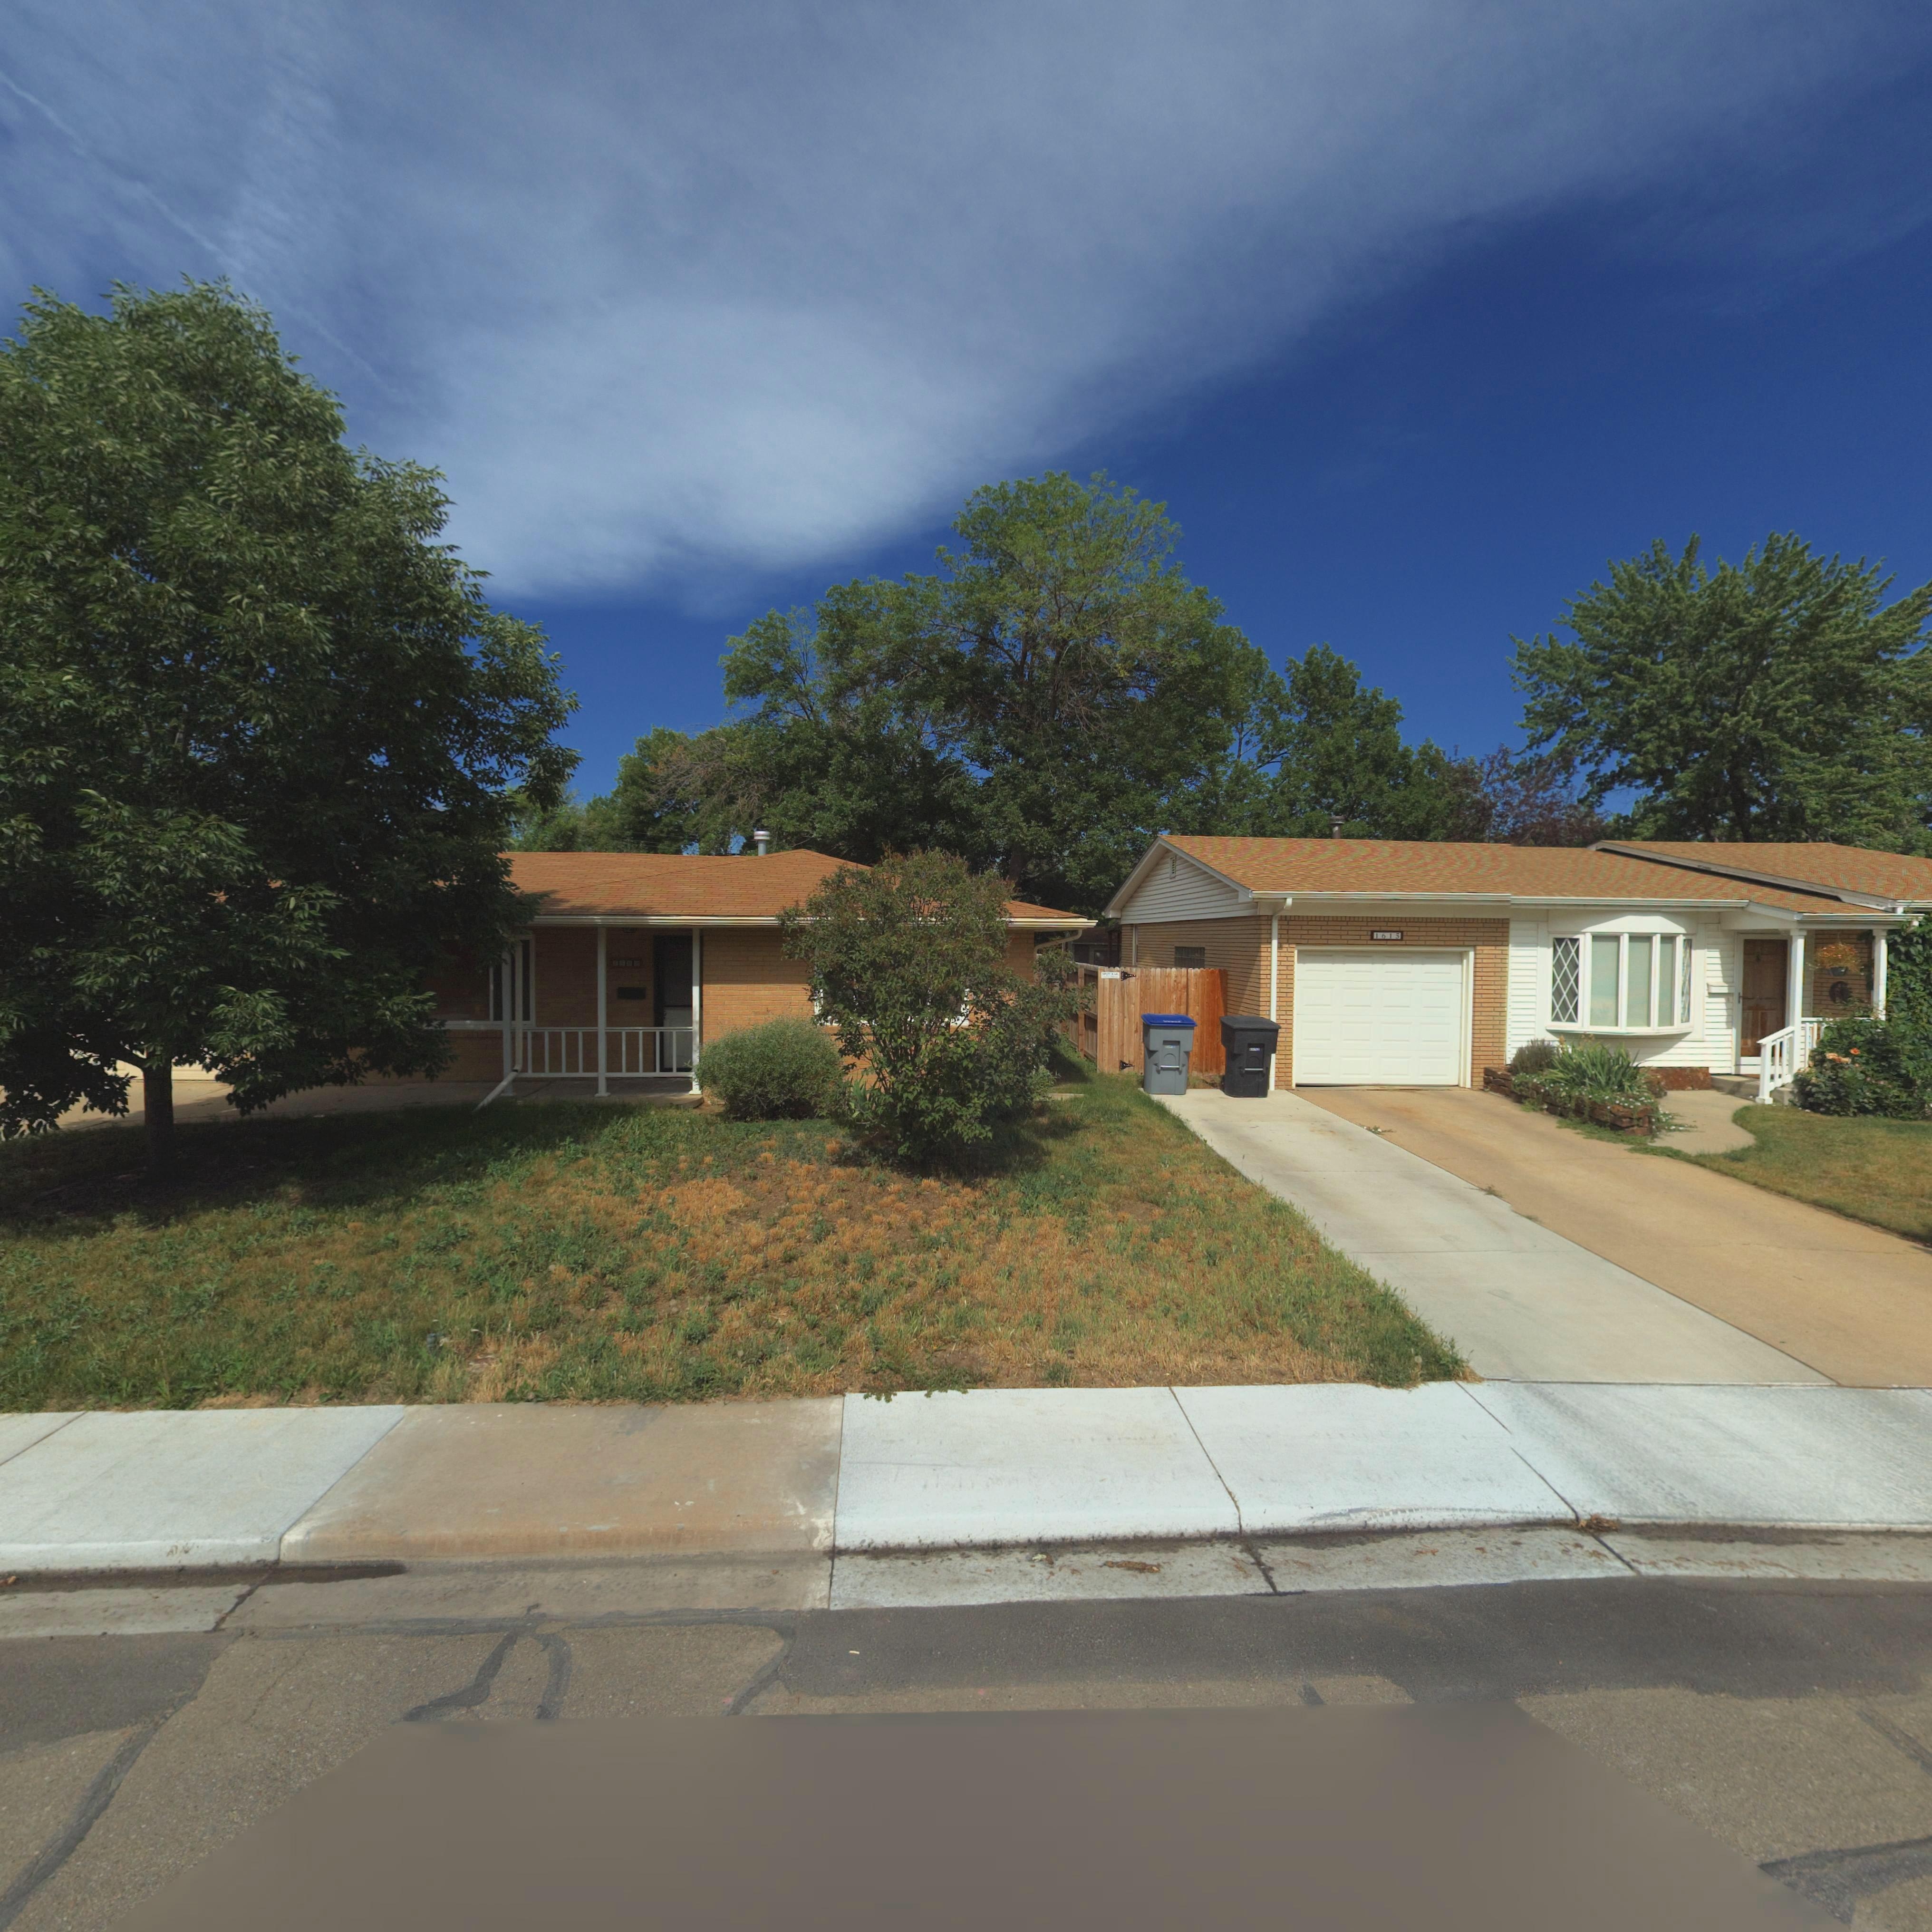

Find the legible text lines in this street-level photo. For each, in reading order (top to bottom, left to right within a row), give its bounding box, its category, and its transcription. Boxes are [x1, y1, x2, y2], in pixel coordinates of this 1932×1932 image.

[1375, 933, 1400, 939] StreetNumber: 1615
[612, 960, 640, 966] StreetNumber: 16**